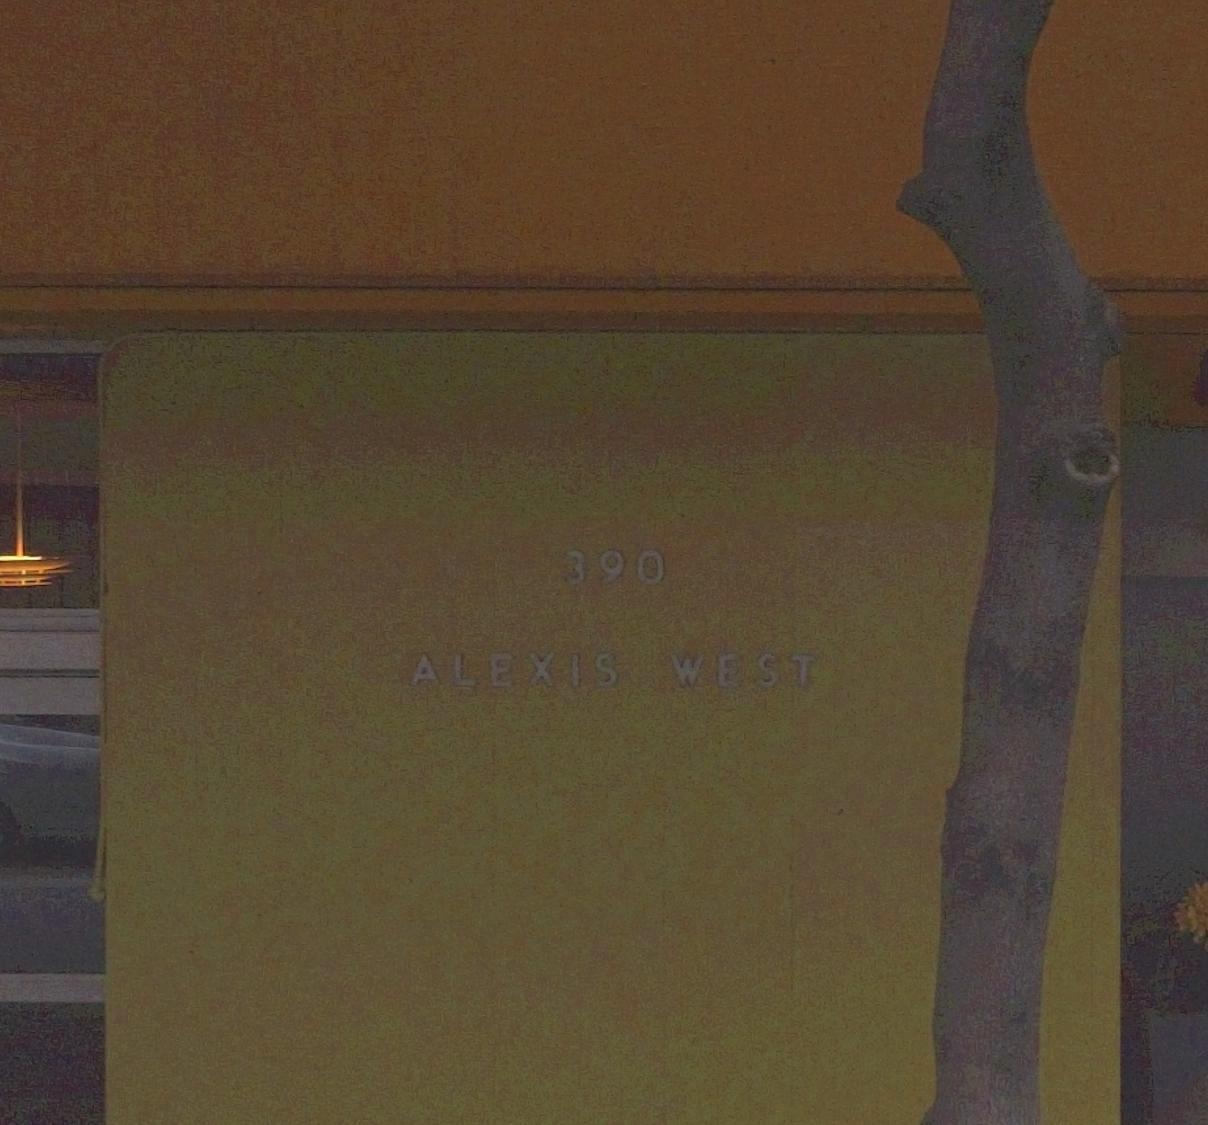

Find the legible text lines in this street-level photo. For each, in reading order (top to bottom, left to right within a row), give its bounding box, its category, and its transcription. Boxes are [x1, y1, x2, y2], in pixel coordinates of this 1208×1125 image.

[562, 546, 668, 589] StreetNumber: 390
[406, 649, 821, 692] StreetName: ALEXIS WEST